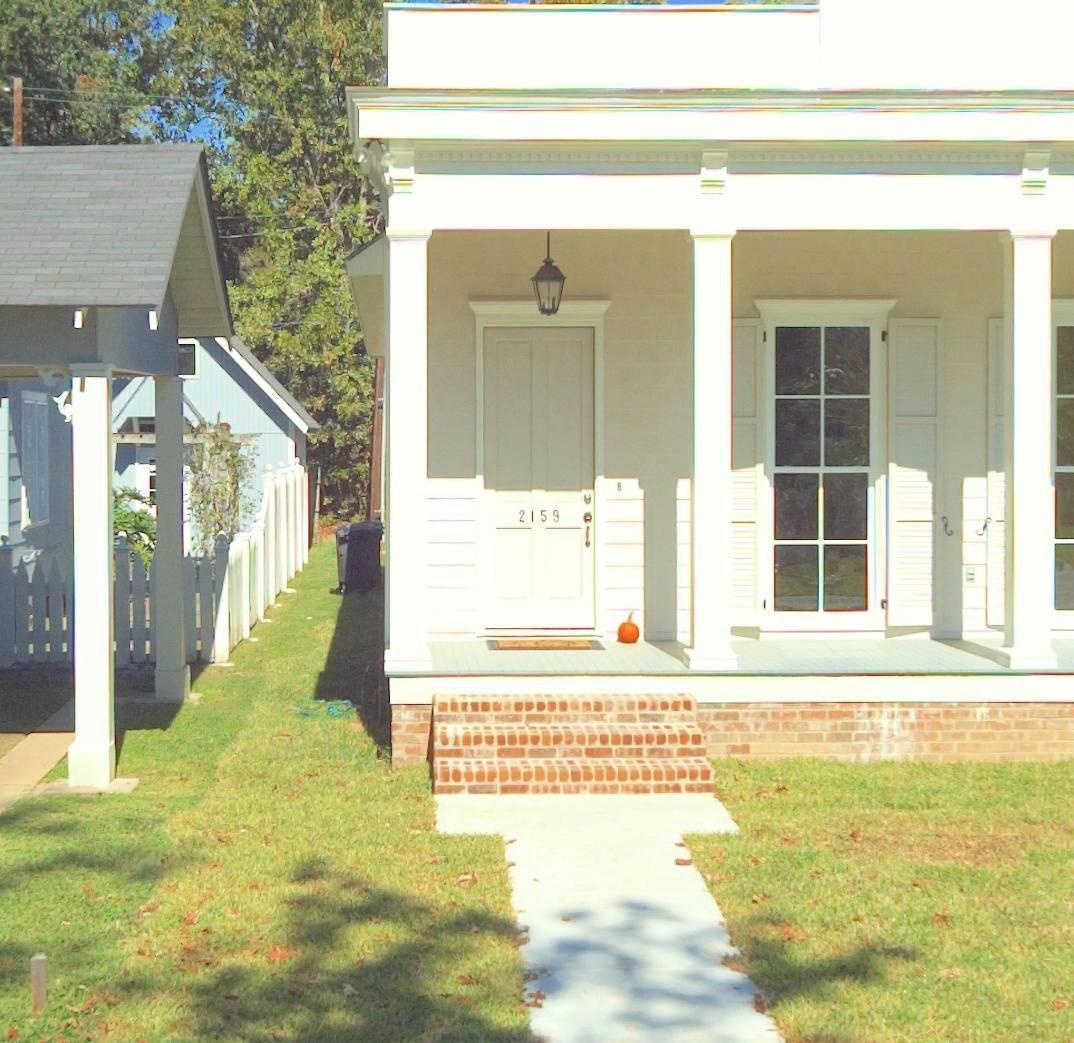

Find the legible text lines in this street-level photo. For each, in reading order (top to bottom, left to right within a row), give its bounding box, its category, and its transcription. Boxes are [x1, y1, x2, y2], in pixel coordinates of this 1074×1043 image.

[517, 508, 561, 525] StreetNumber: 2159